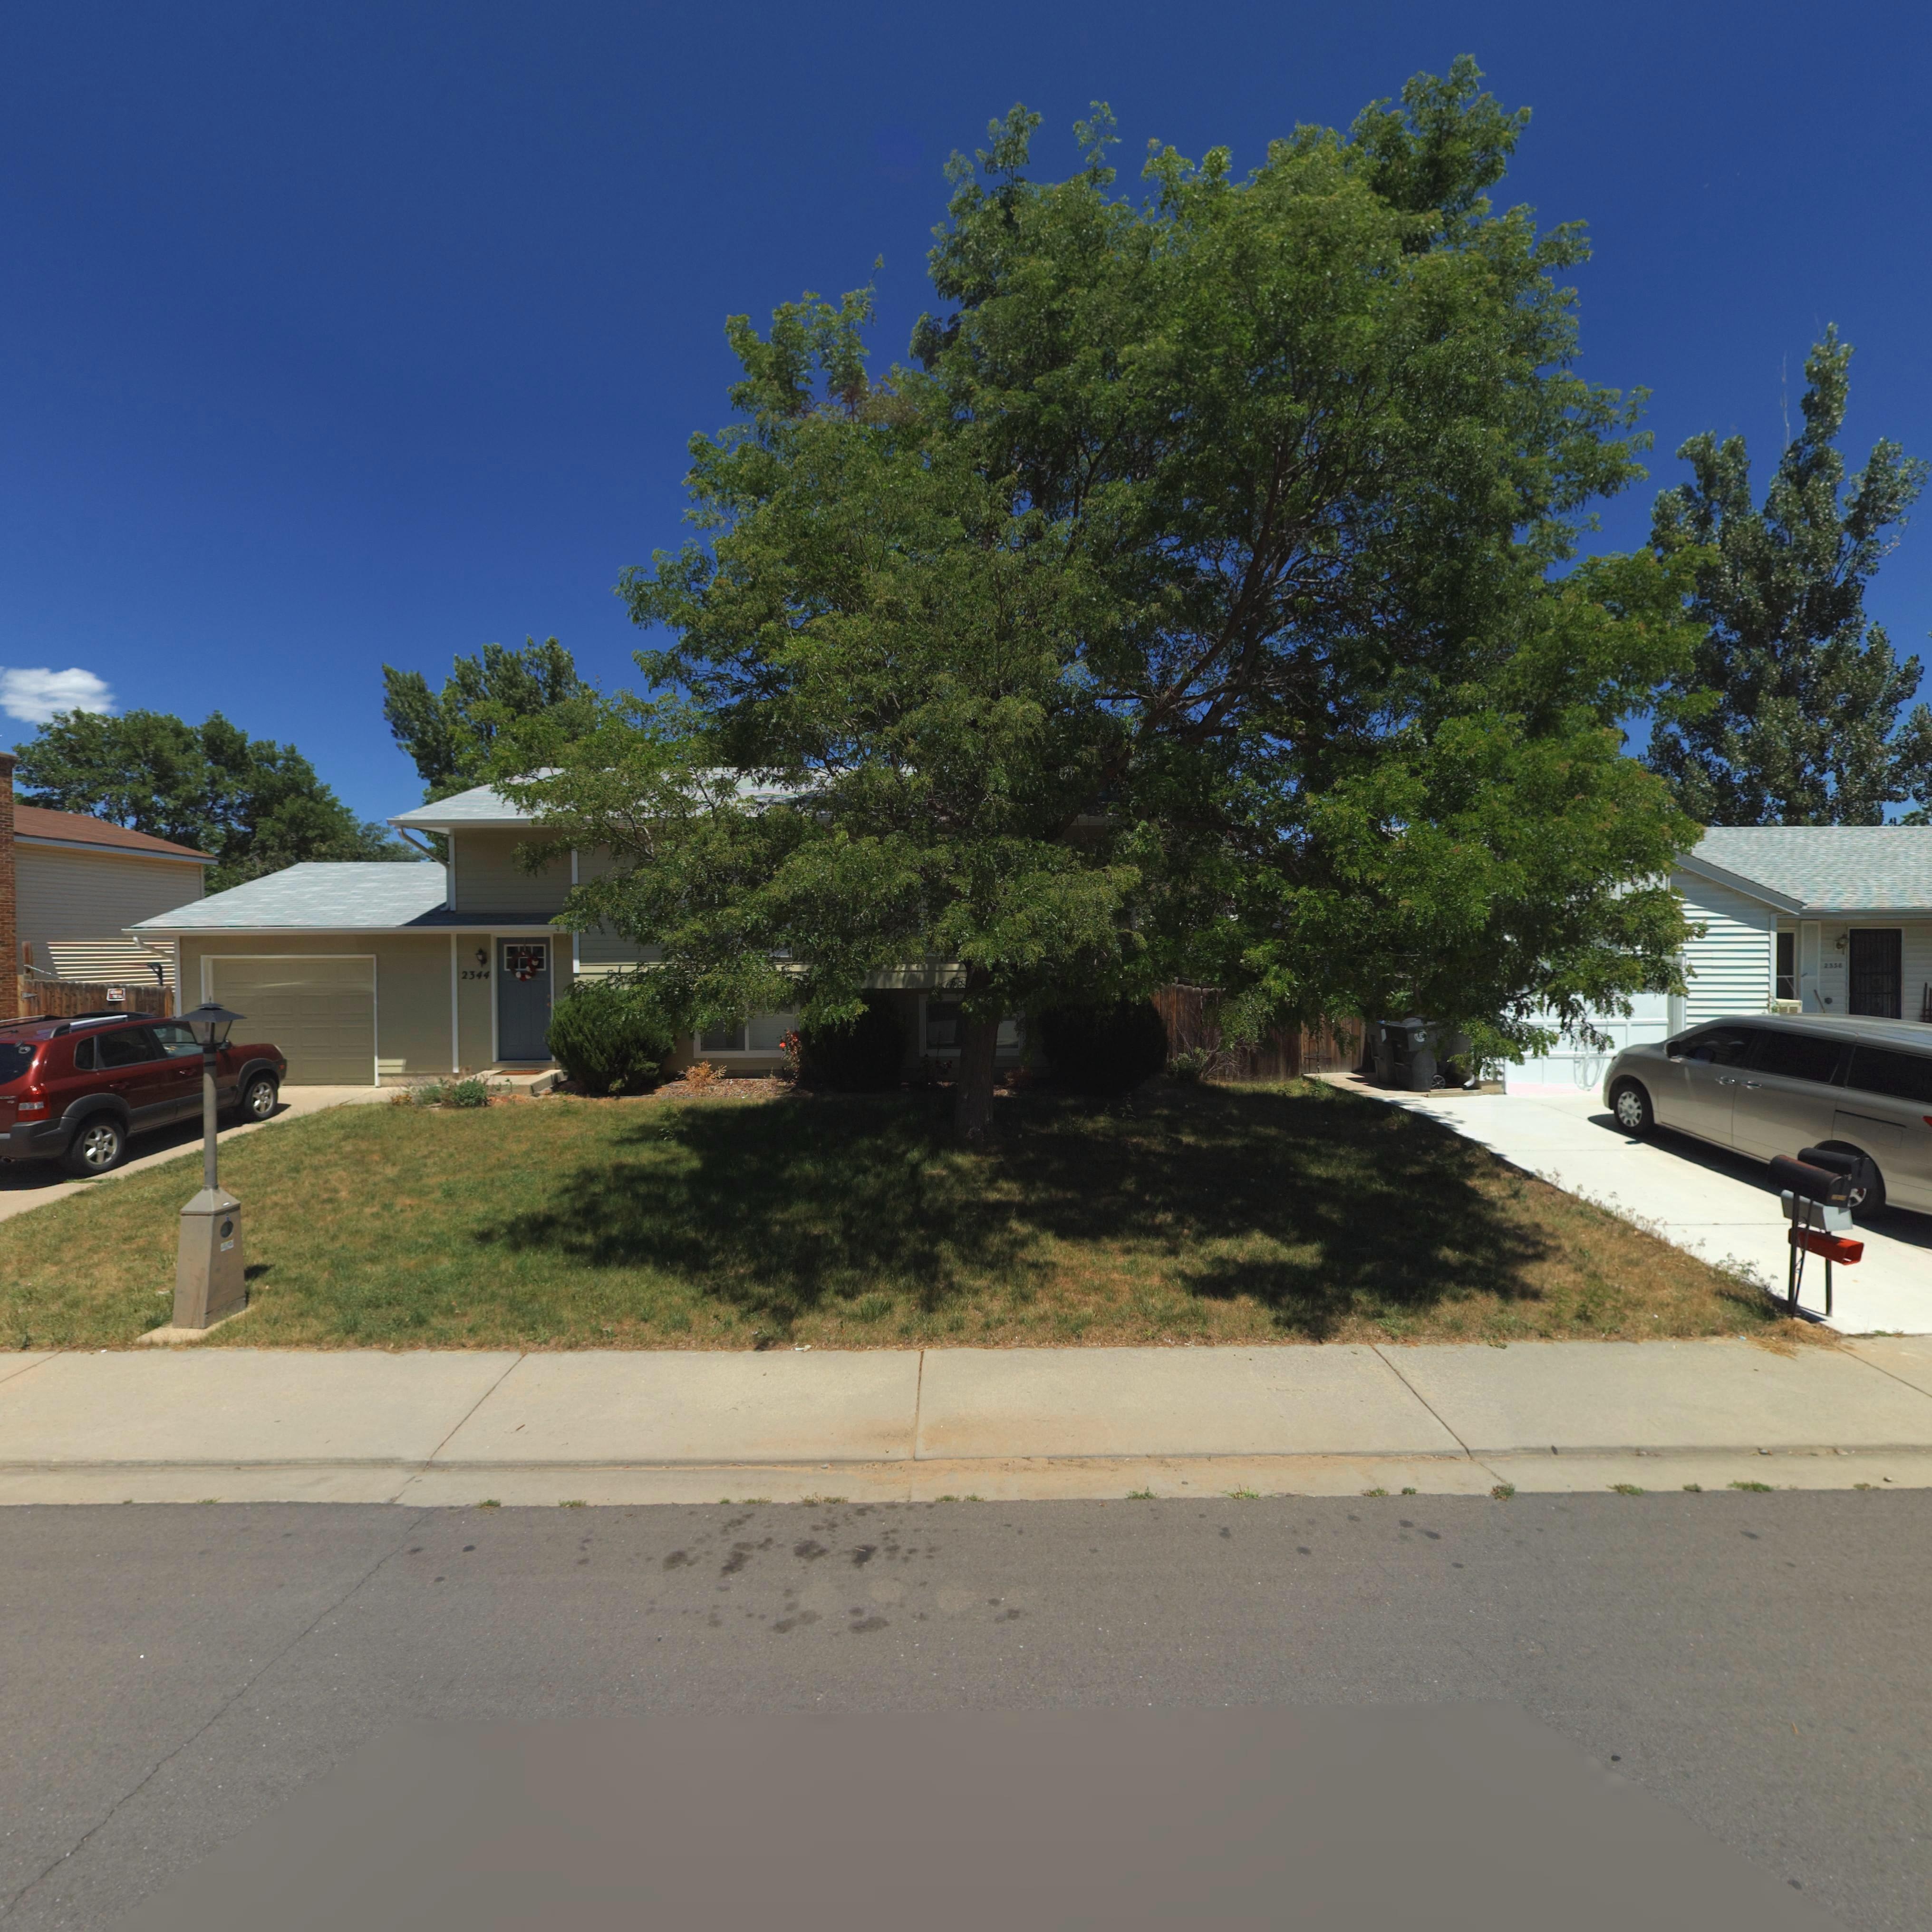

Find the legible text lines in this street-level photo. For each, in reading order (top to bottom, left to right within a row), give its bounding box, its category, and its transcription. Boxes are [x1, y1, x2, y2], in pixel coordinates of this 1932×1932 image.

[1823, 962, 1843, 968] StreetNumber: 2338
[460, 970, 490, 980] StreetNumber: 2344